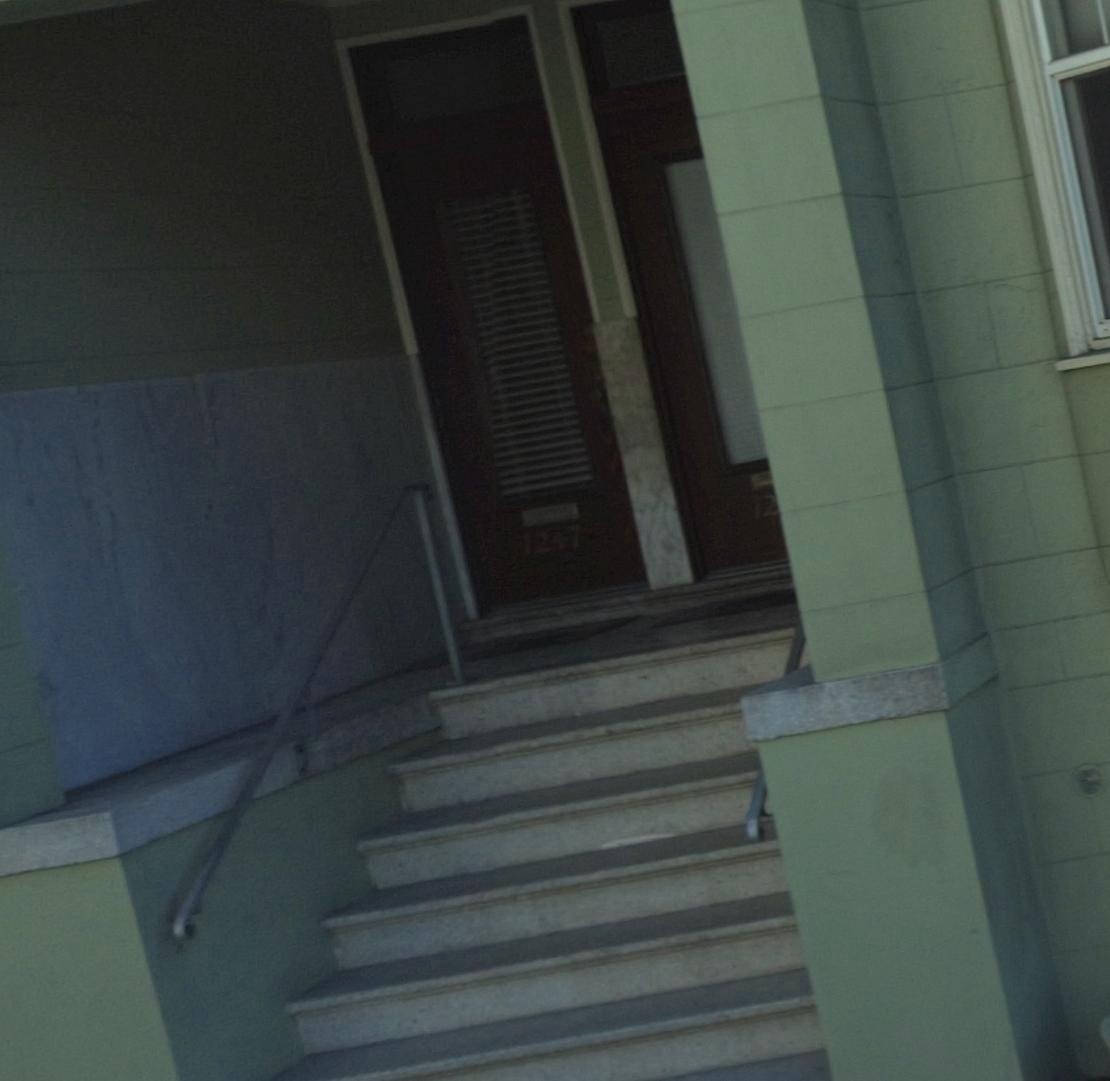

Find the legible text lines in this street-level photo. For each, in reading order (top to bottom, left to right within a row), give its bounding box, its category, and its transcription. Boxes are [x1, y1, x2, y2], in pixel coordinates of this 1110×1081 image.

[750, 490, 786, 524] StreetNumber: 12
[521, 521, 584, 560] StreetNumber: 1247